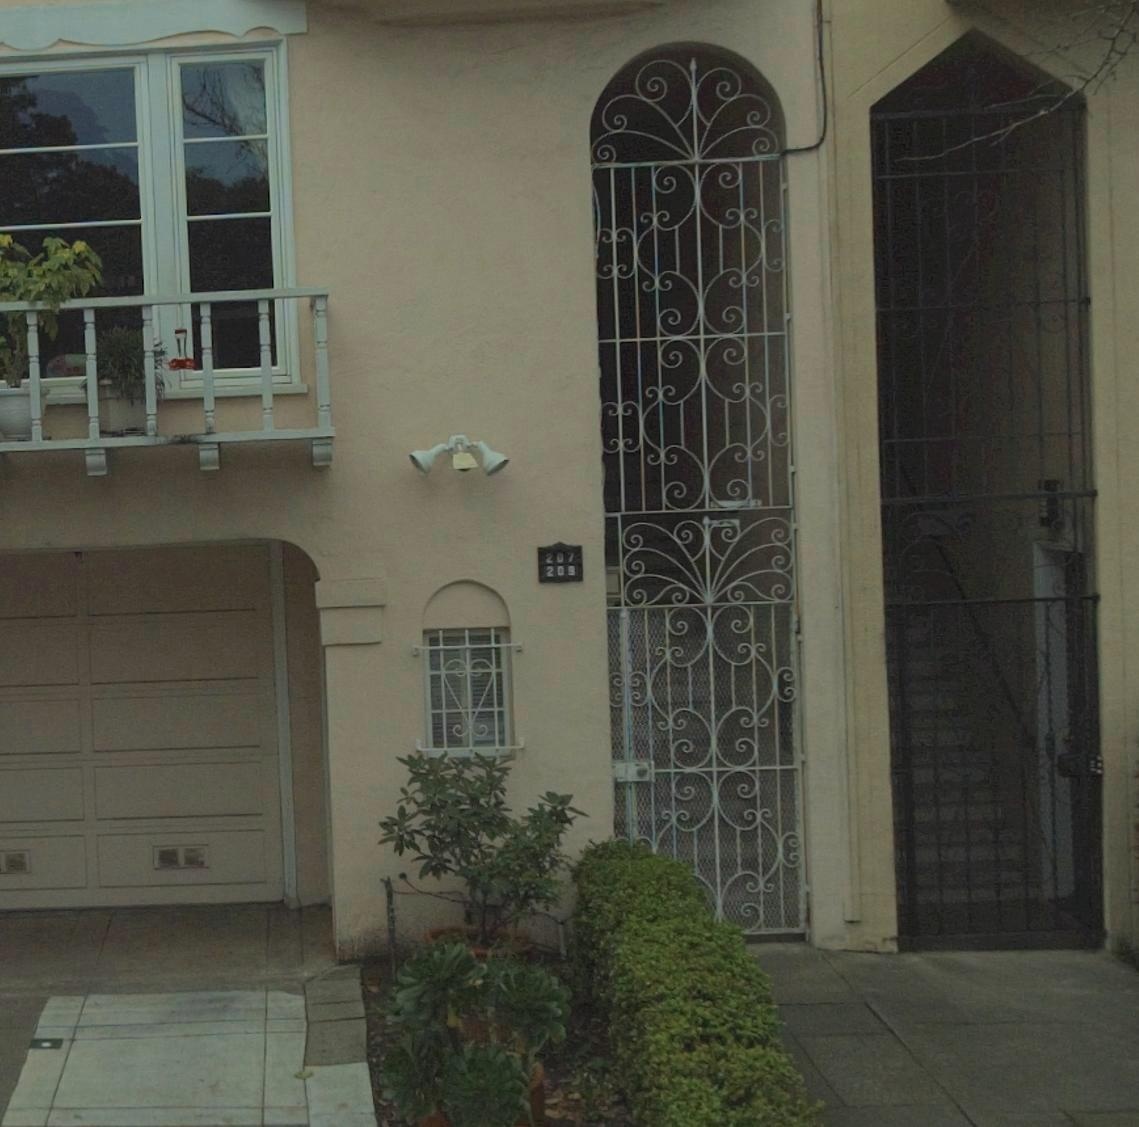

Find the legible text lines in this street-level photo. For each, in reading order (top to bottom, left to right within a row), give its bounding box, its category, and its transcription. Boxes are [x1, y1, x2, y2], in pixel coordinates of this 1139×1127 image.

[544, 550, 576, 564] StreetNumber: 207
[544, 564, 576, 577] StreetNumber: 209